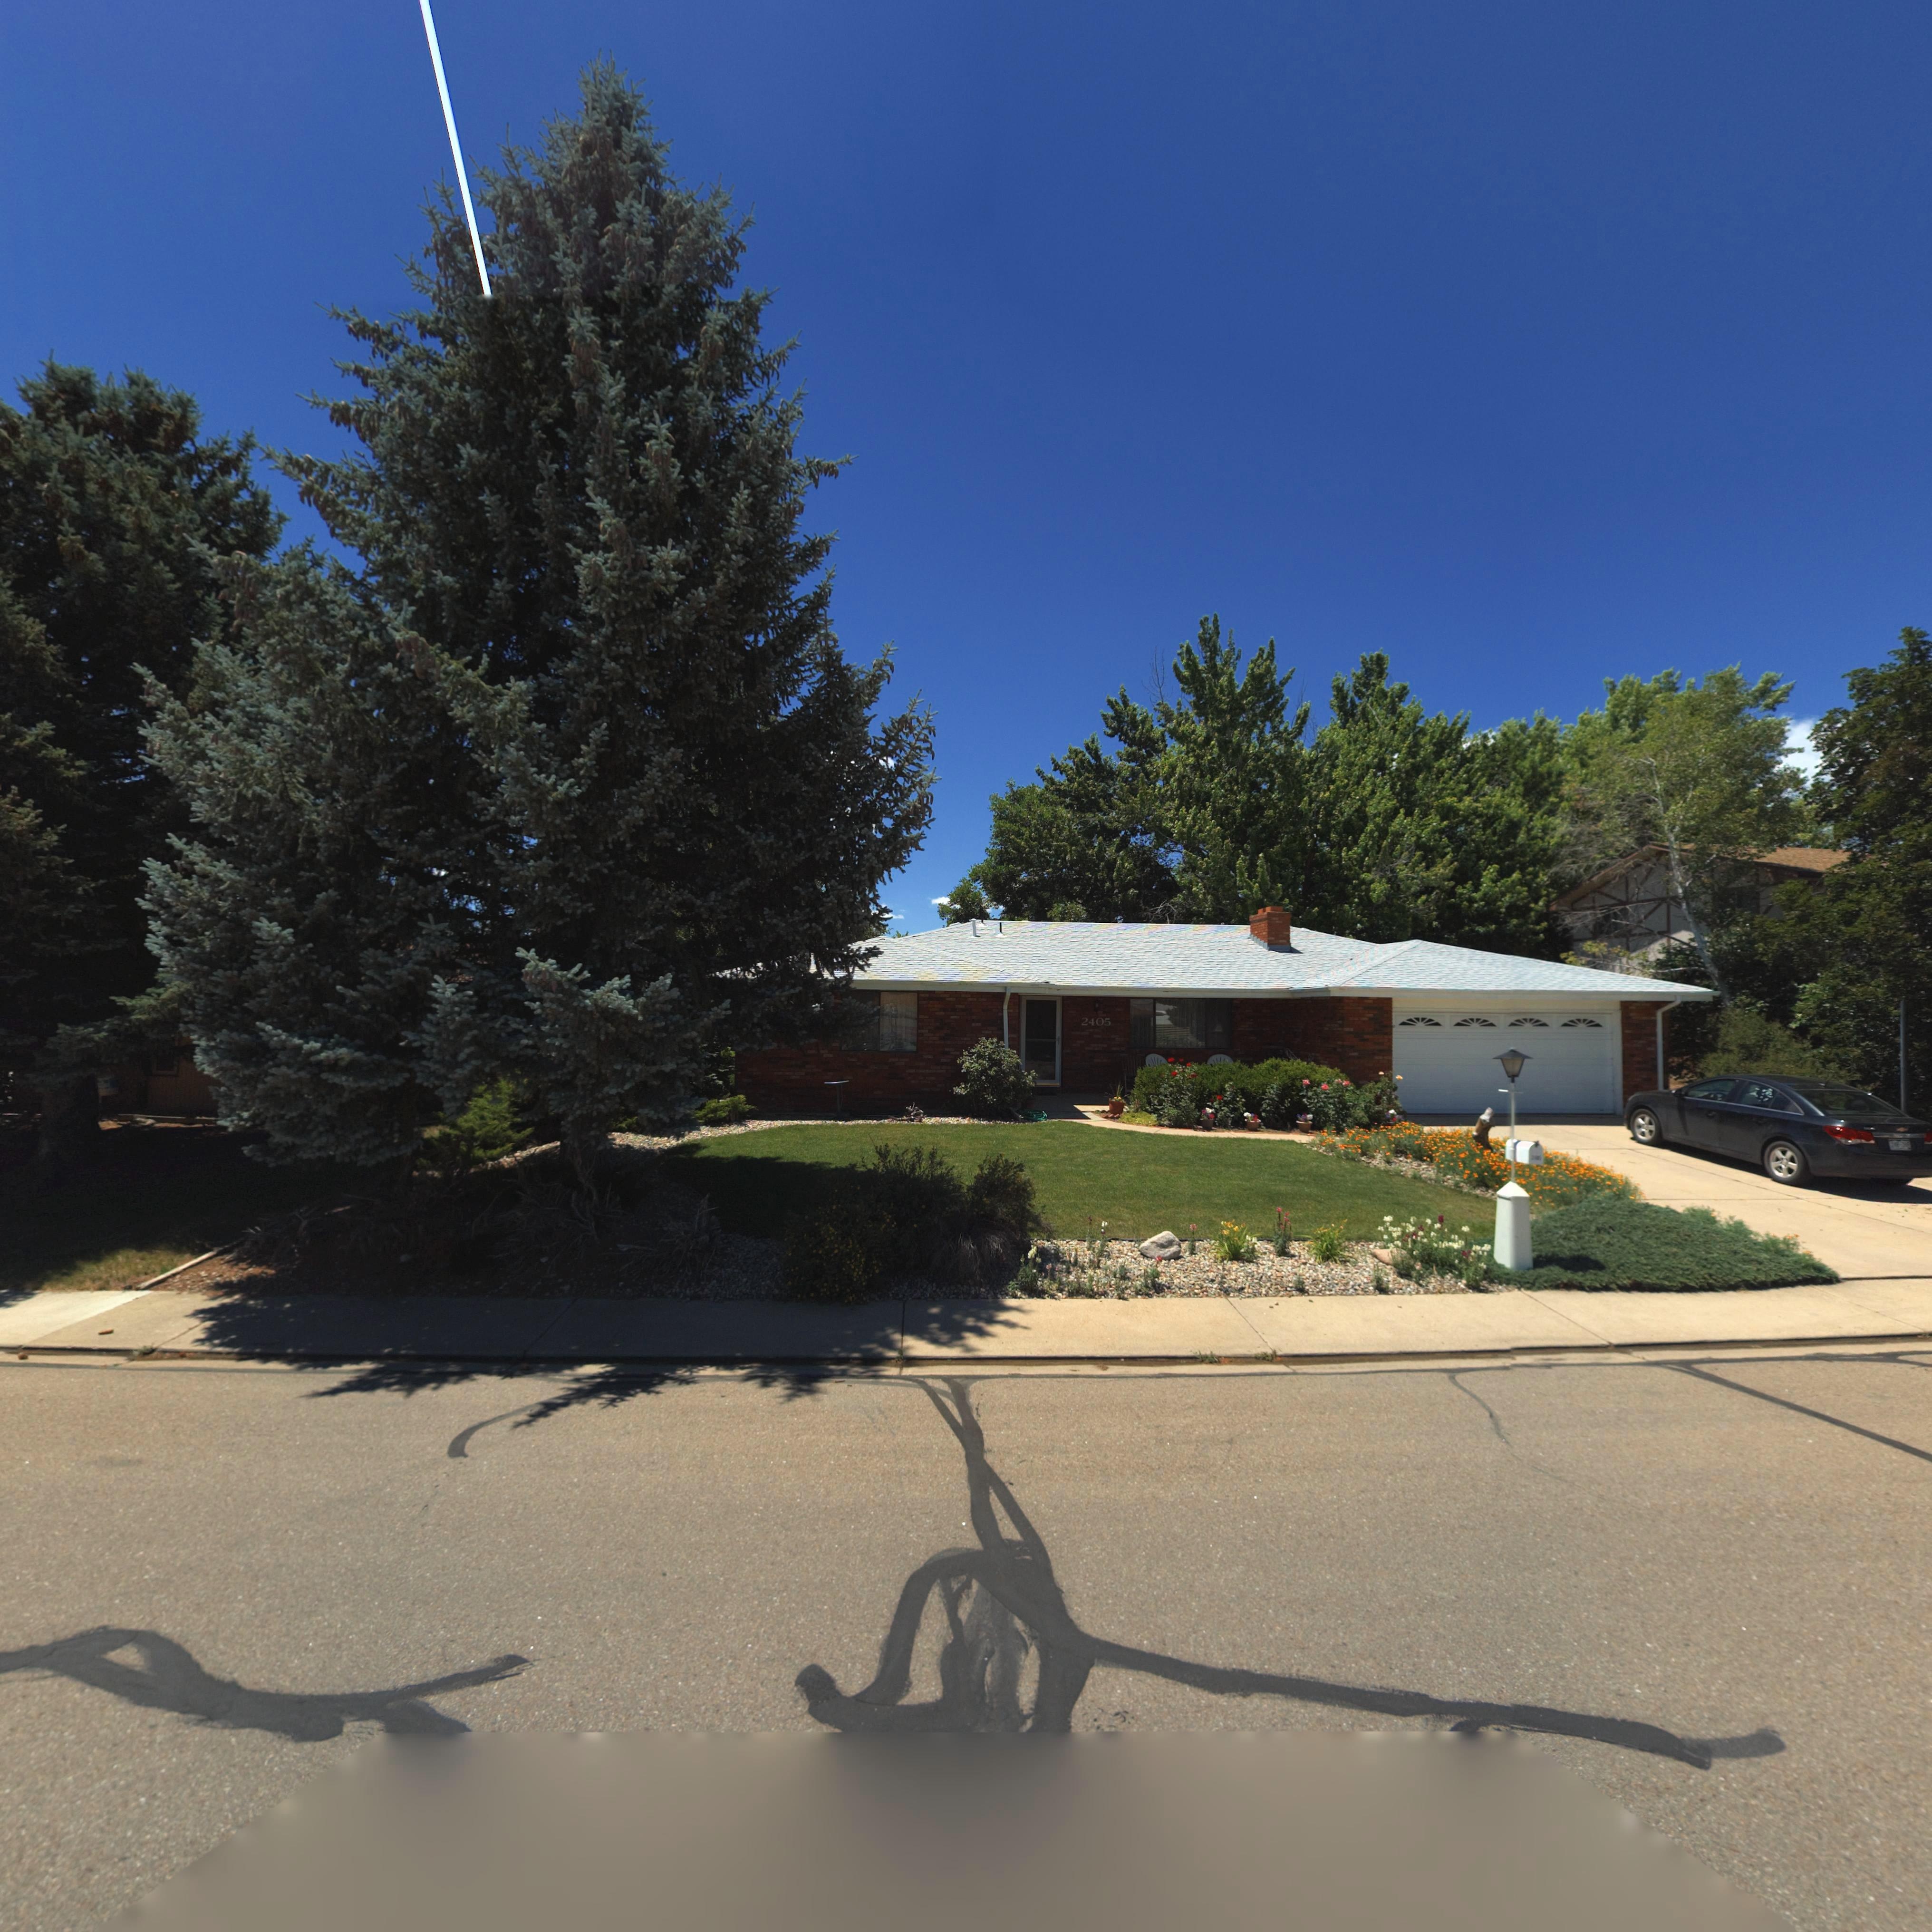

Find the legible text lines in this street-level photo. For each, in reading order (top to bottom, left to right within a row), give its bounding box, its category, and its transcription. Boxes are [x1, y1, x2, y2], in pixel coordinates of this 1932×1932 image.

[1081, 1017, 1111, 1026] StreetNumber: 2405